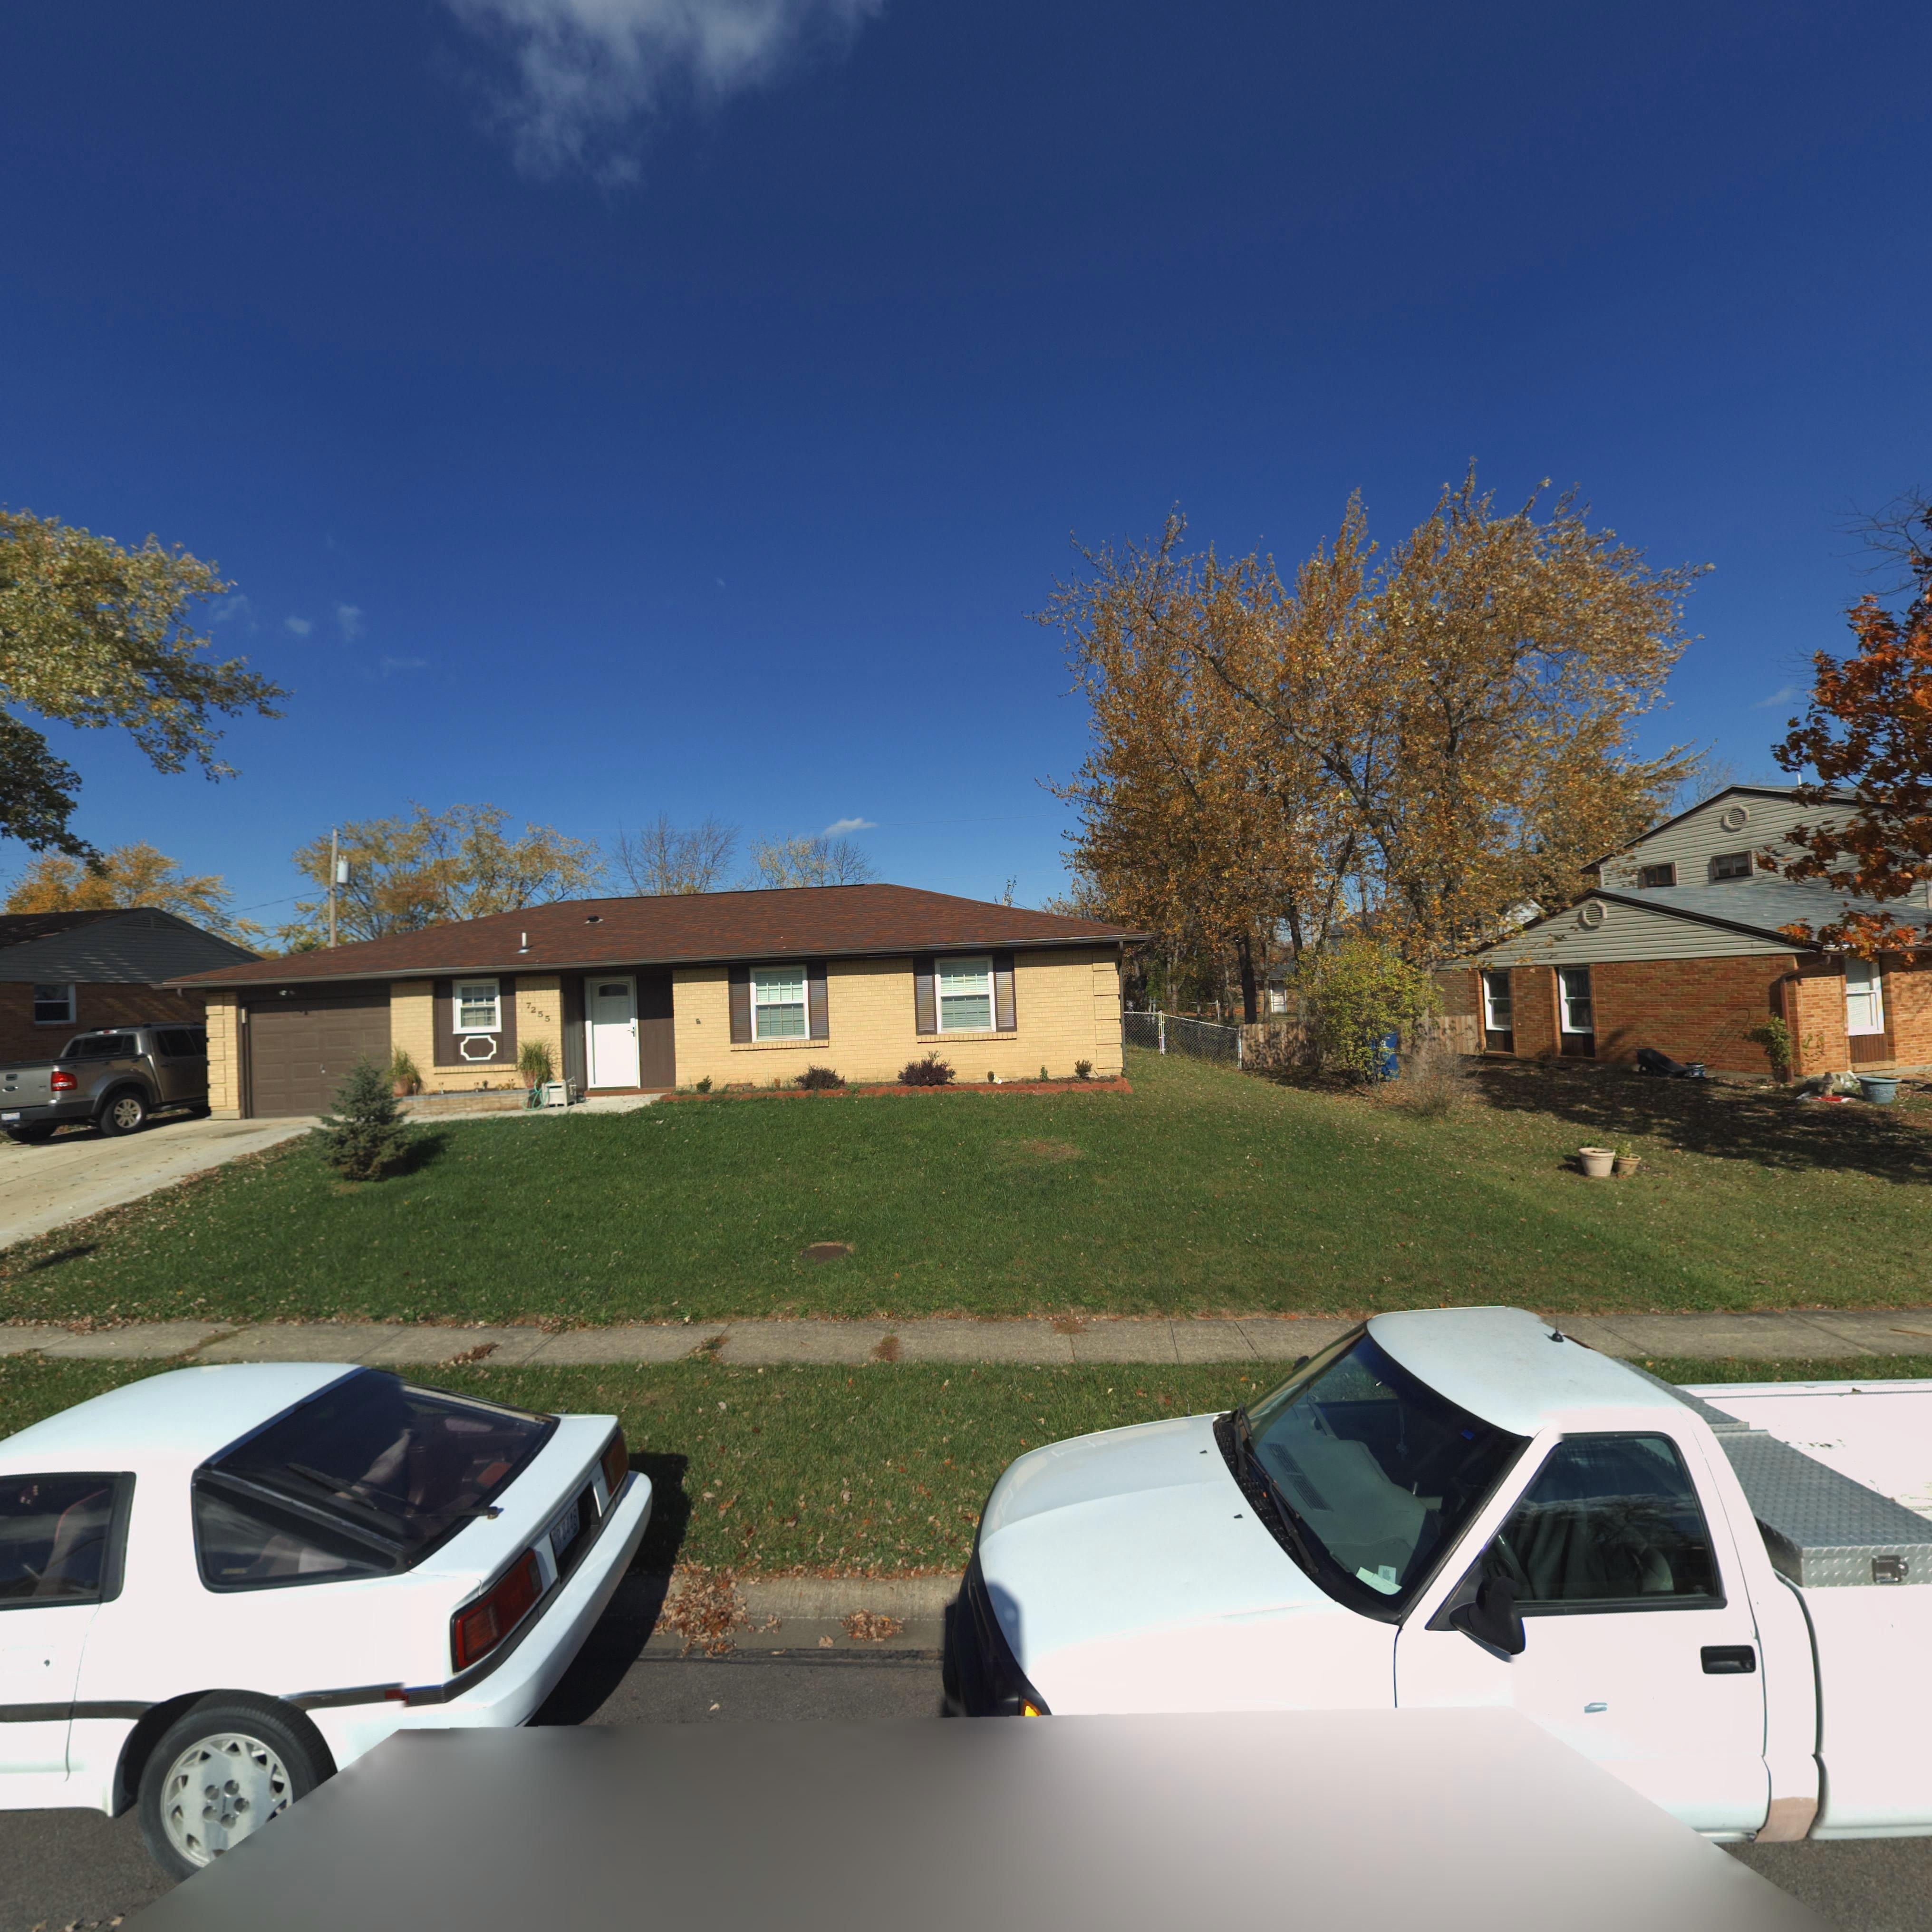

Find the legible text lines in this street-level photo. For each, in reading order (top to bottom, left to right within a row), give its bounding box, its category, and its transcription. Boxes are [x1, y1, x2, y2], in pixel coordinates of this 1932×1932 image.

[525, 1001, 551, 1024] StreetNumber: 7255